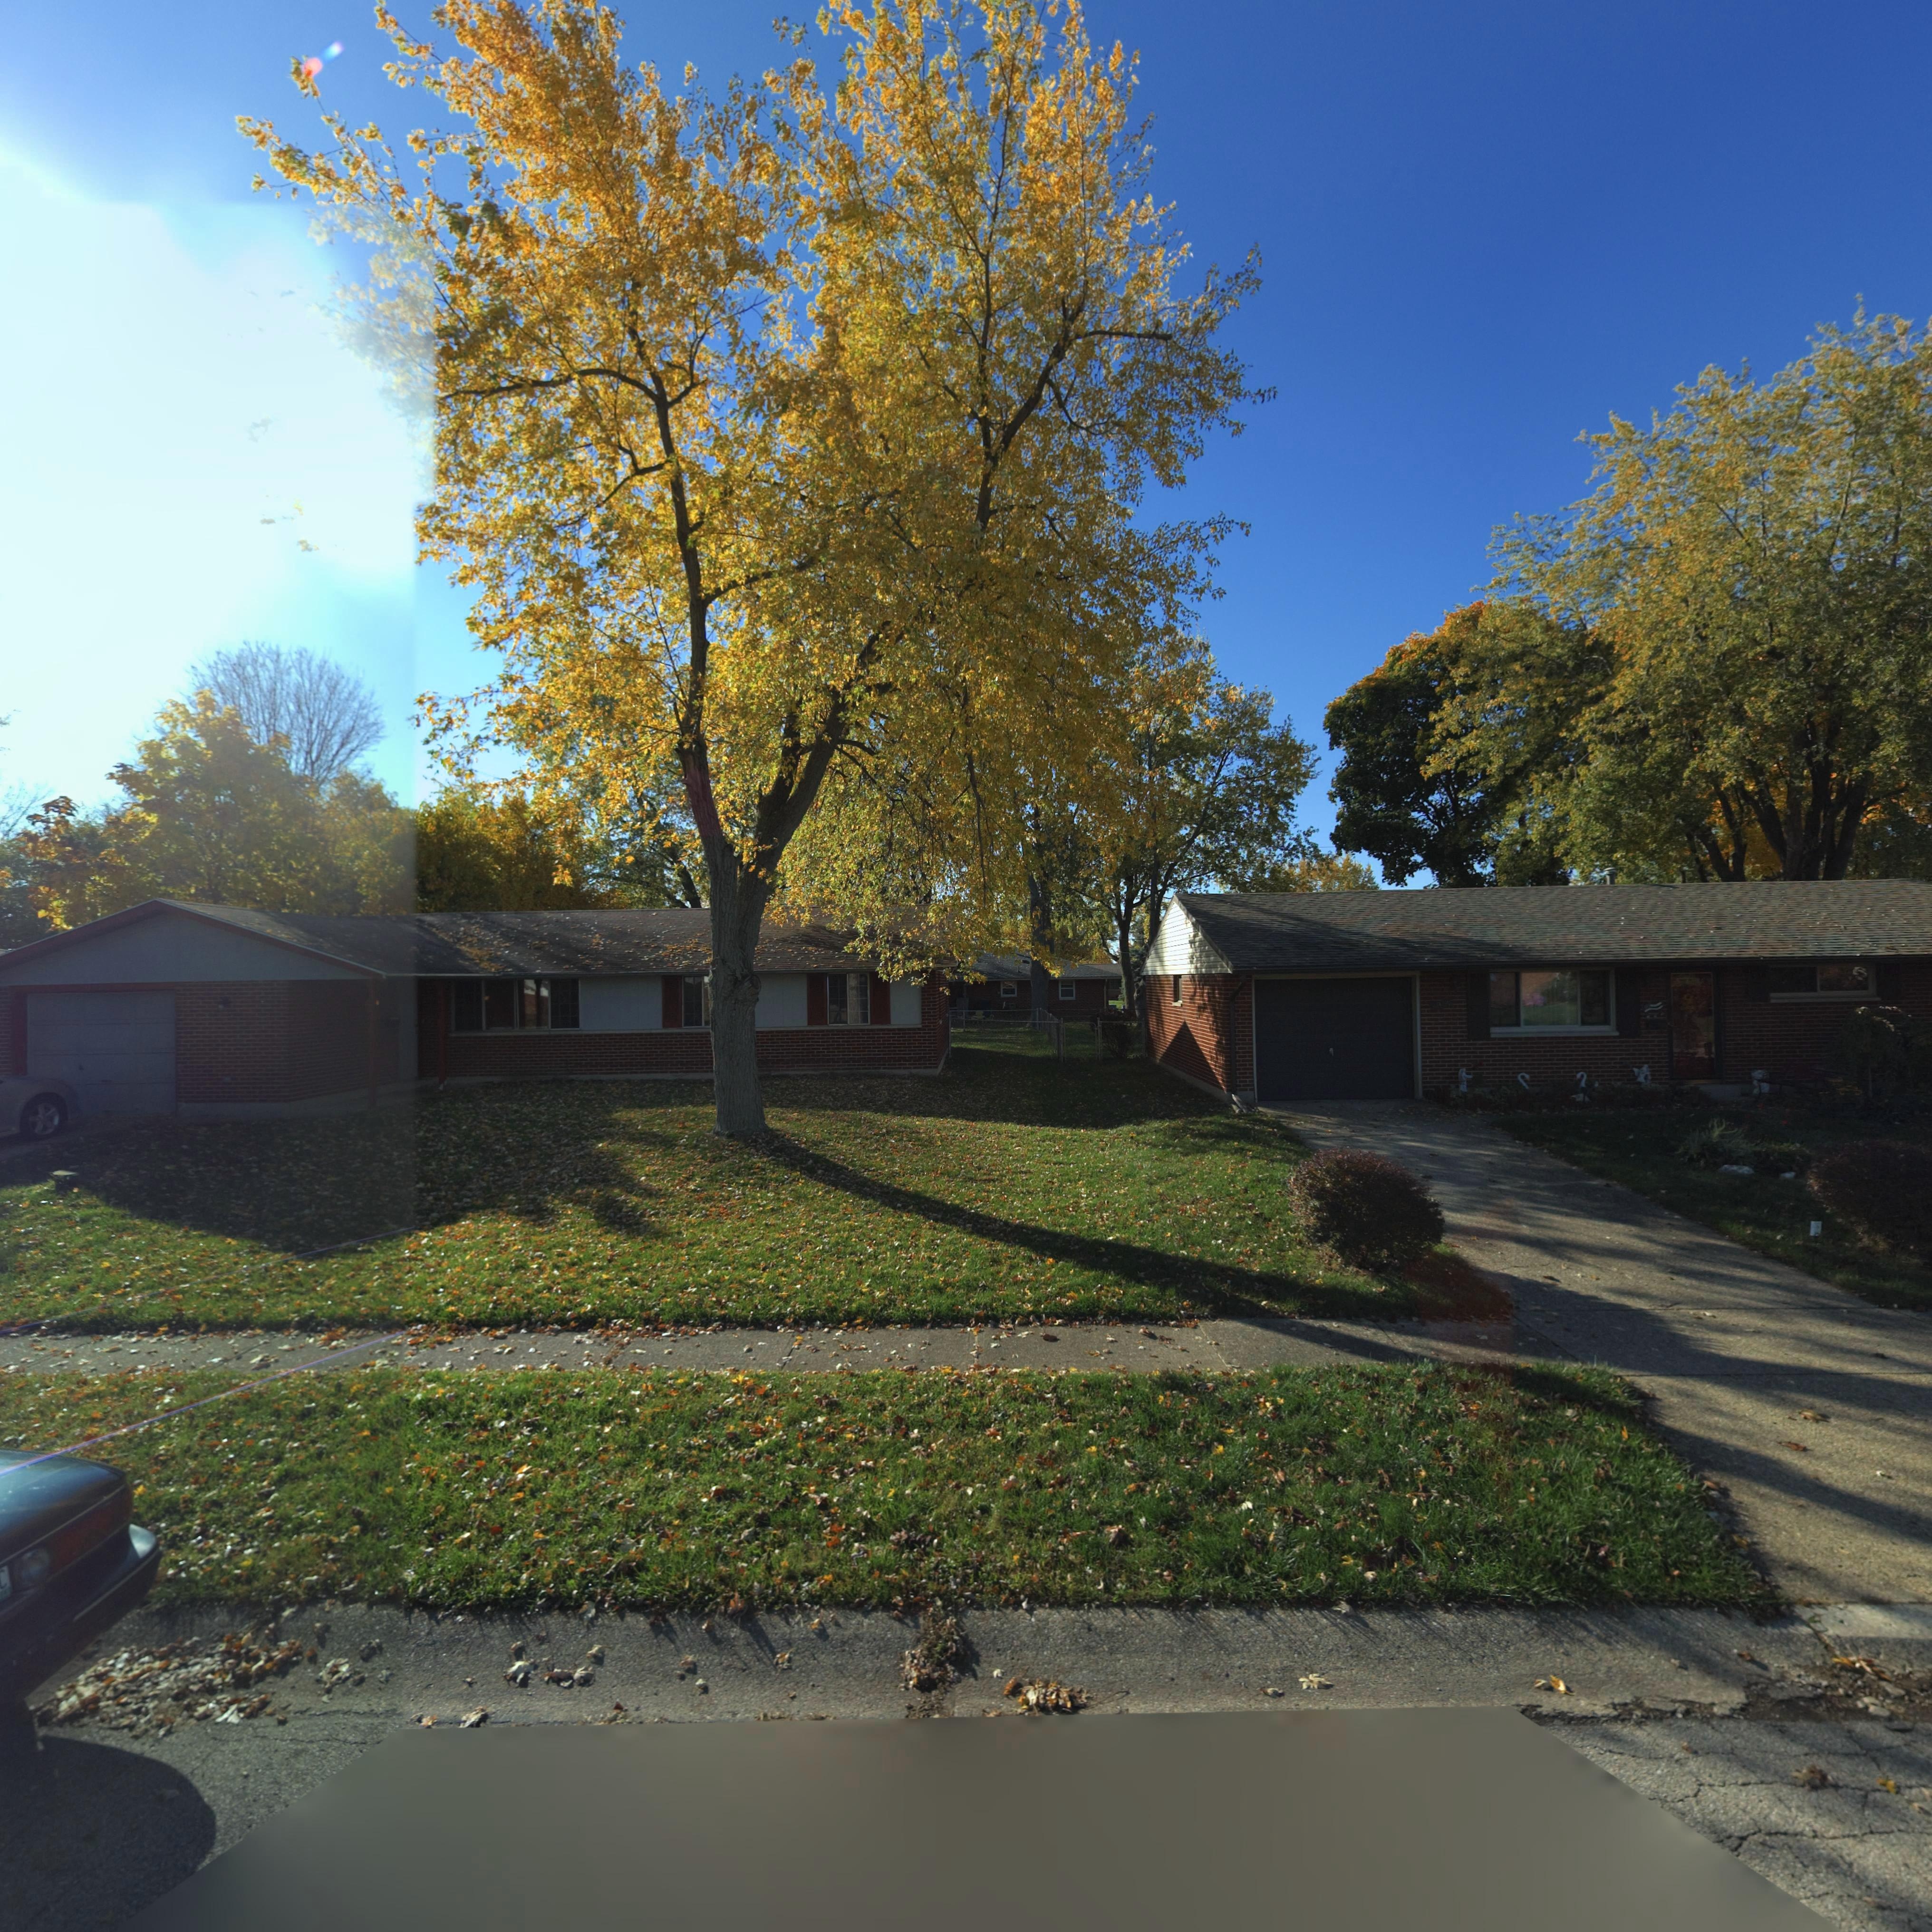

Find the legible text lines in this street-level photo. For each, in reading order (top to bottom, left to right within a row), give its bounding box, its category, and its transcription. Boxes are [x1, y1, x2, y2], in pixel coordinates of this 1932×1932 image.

[1436, 1001, 1442, 1009] StreetNumber: 9